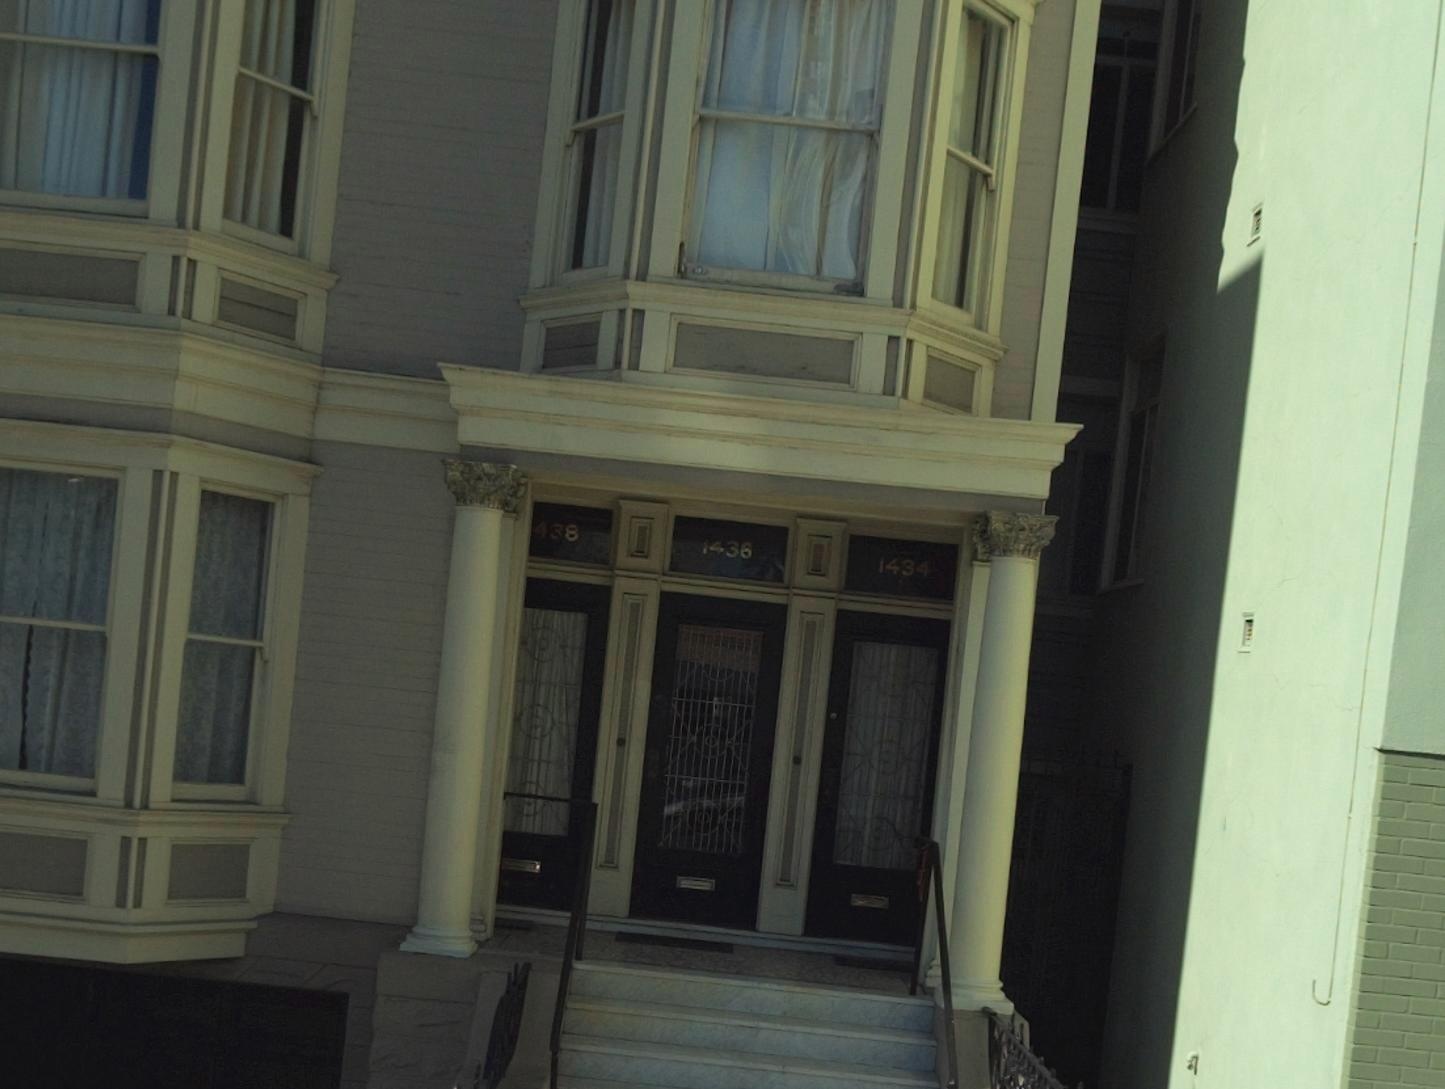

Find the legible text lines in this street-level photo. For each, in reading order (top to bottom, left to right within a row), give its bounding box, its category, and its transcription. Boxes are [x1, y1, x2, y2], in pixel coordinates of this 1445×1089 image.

[531, 518, 582, 544] StreetNumber: 1438
[701, 535, 755, 561] StreetNumber: 1436
[875, 554, 933, 581] StreetNumber: 1434